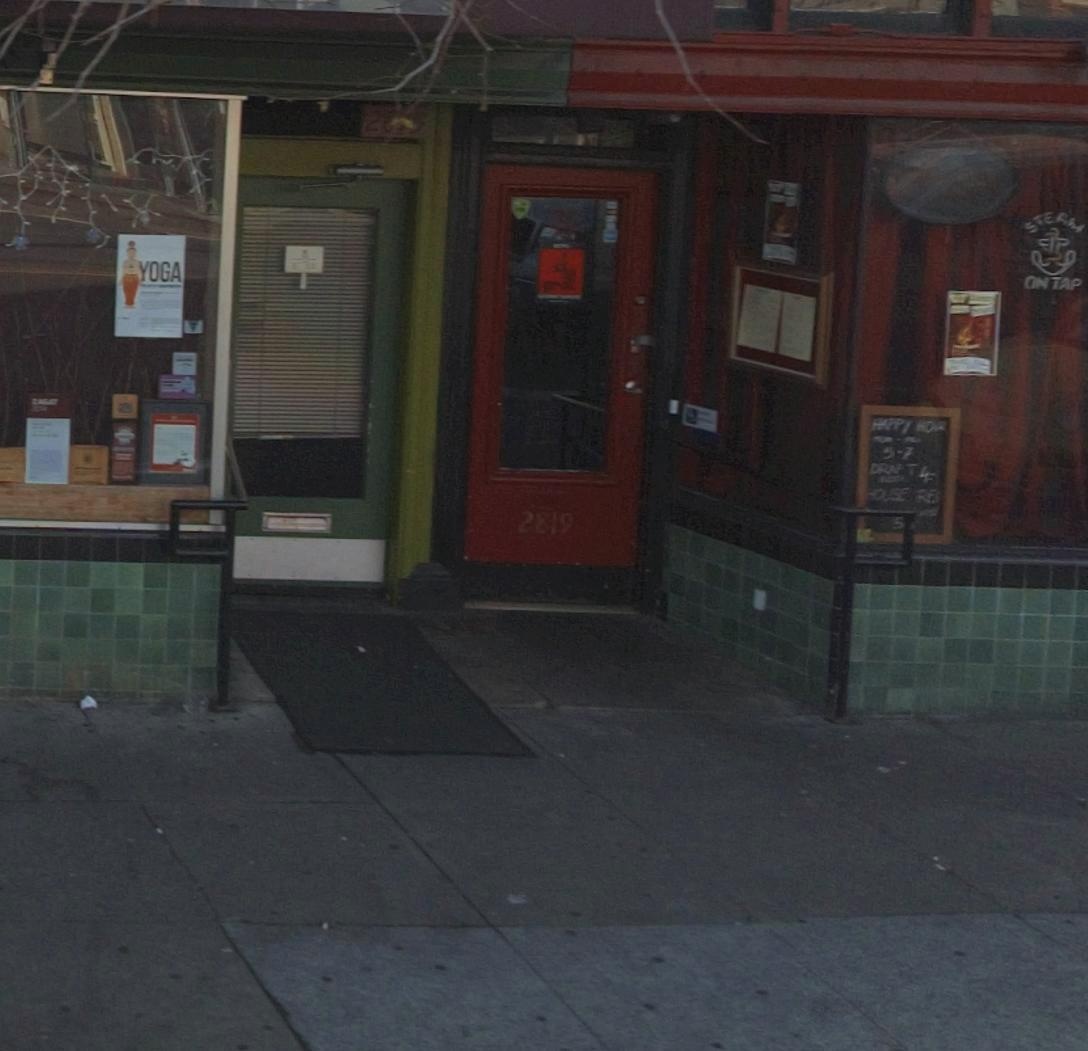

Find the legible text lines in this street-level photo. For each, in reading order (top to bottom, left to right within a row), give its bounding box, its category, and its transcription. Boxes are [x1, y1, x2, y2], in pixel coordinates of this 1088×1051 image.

[1018, 209, 1087, 237] None: STE**
[136, 258, 184, 285] None: YOGA
[1020, 272, 1086, 293] None: ON TAP
[862, 412, 950, 437] None: HAPPY HOUR
[877, 442, 920, 463] None: 5-7
[513, 505, 580, 540] StreetNumber: 2819